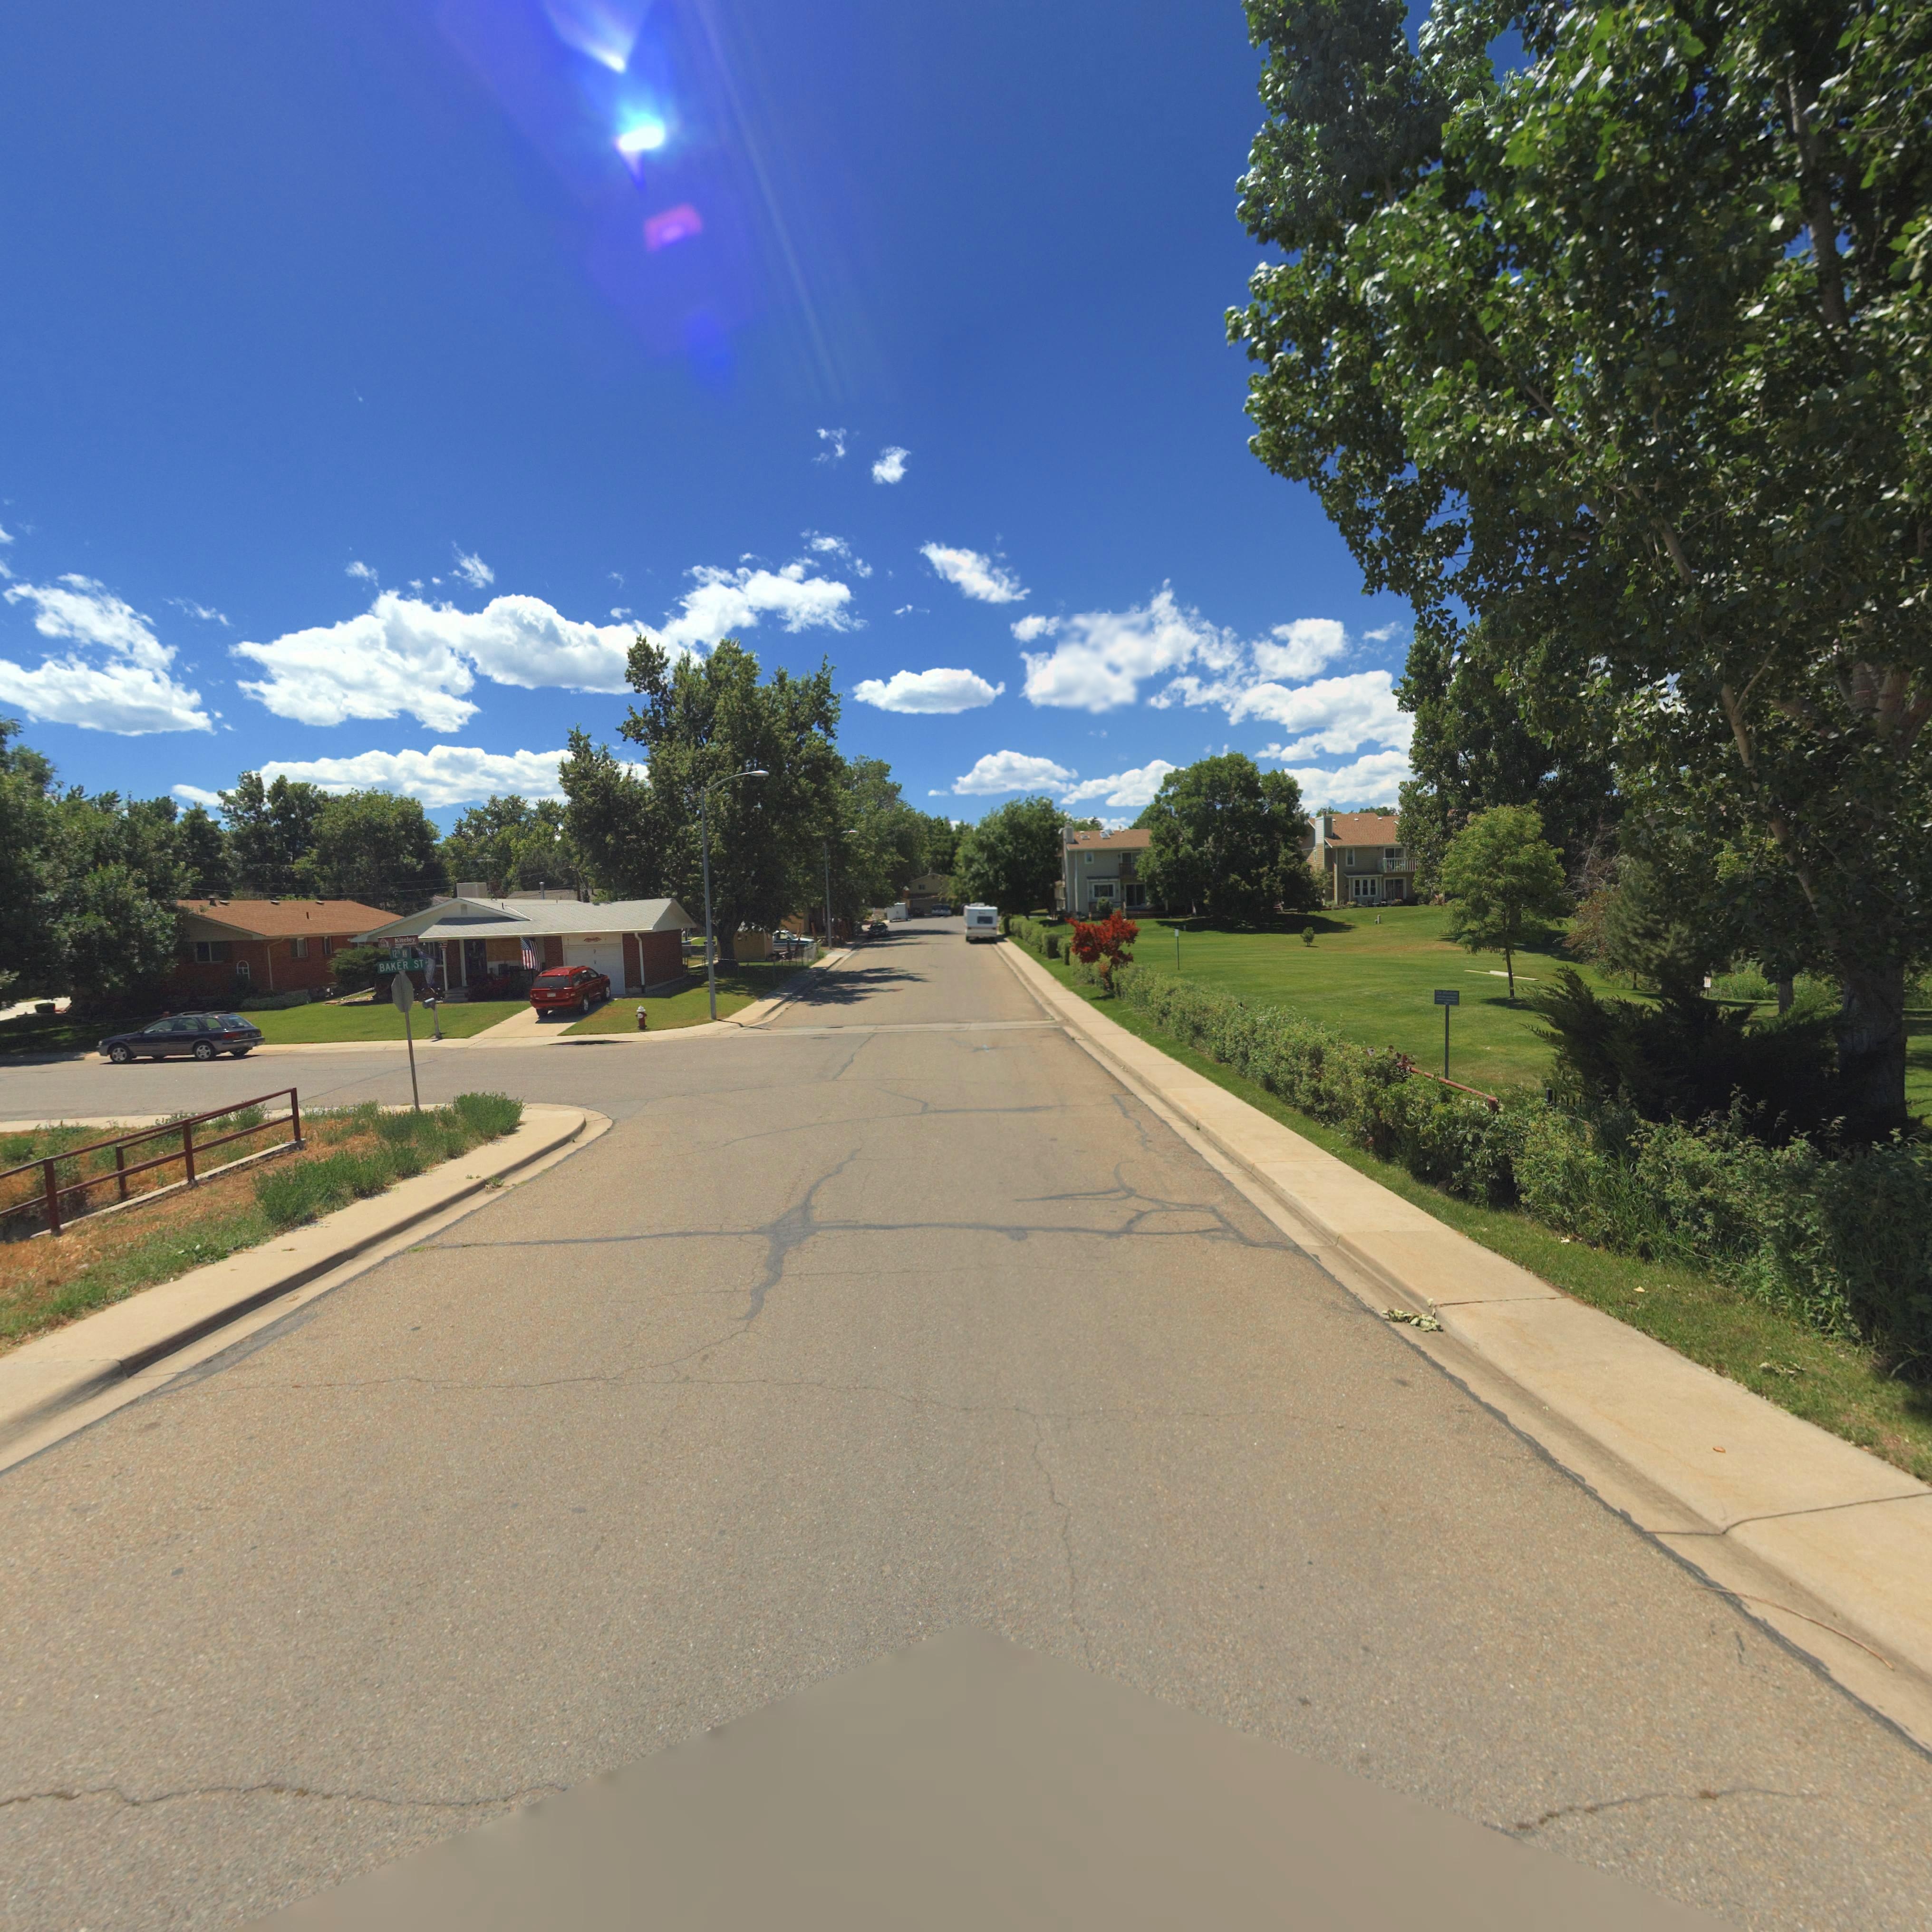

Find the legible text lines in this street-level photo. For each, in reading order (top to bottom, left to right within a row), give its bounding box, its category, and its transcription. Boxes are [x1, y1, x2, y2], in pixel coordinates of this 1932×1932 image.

[391, 949, 407, 958] StreetName: 12** A*
[379, 959, 423, 972] StreetName: BAKER ST